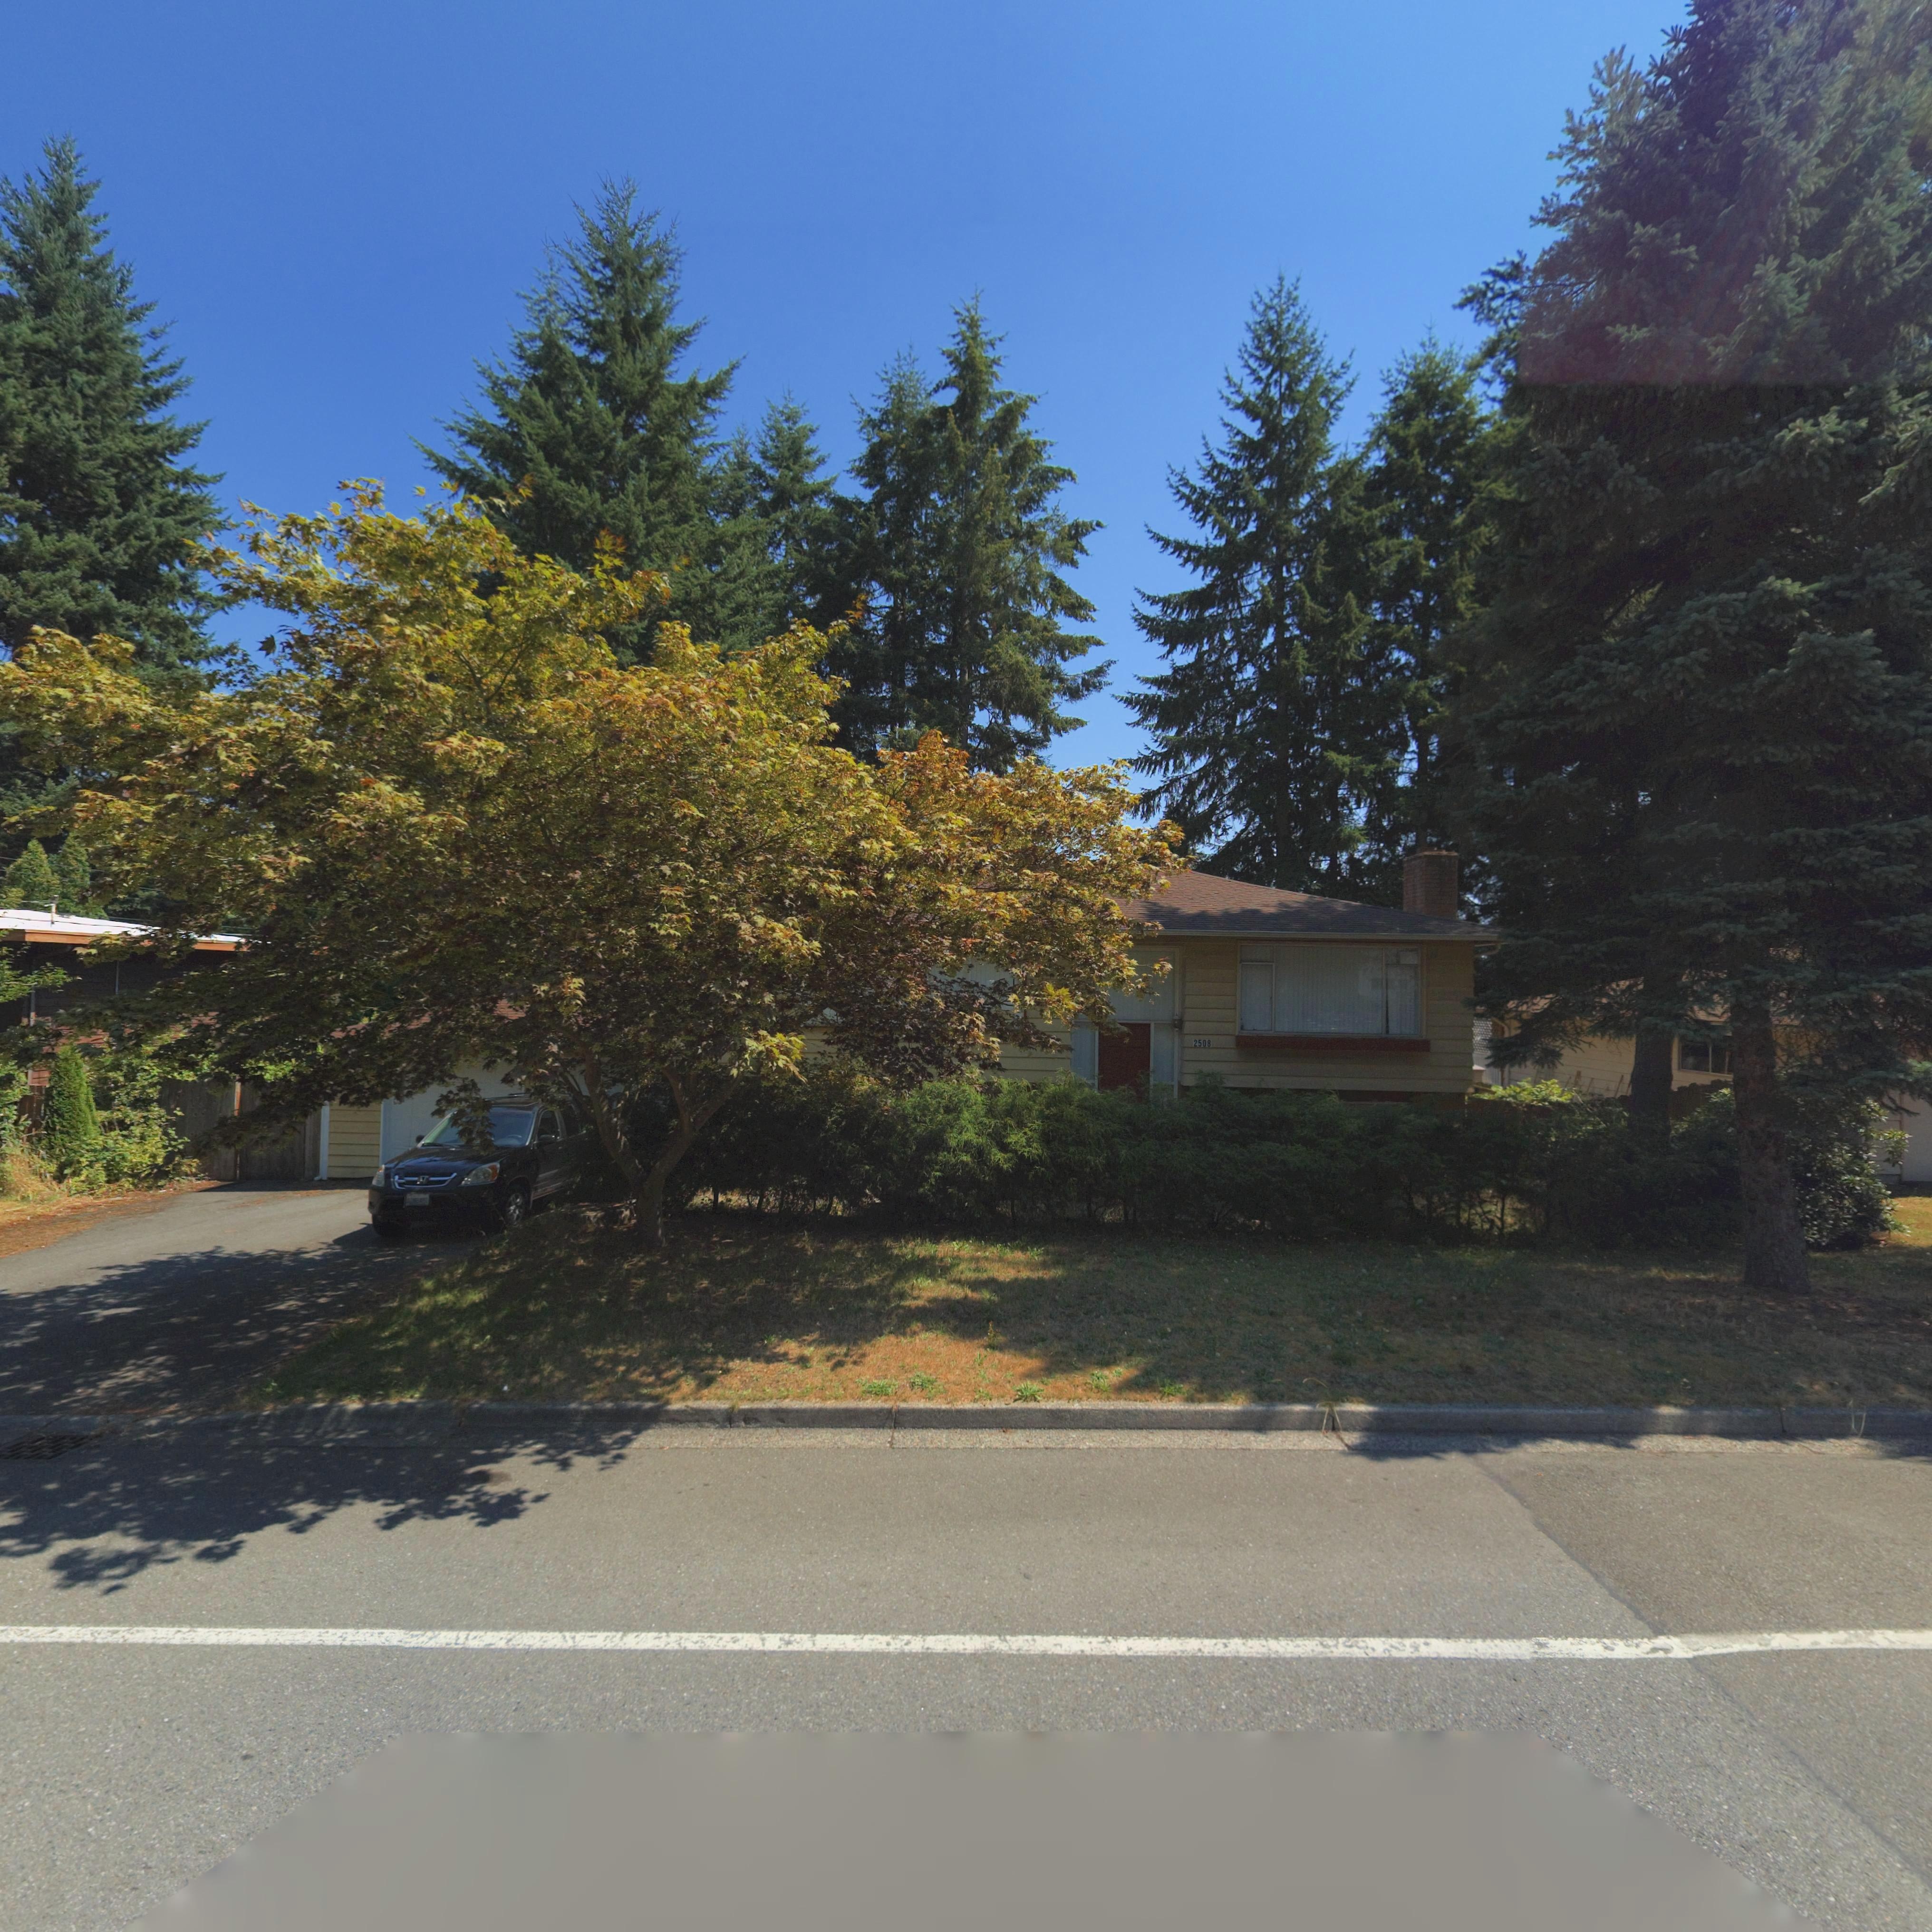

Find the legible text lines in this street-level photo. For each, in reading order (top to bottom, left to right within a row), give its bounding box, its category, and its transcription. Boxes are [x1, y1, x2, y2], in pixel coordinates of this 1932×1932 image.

[1194, 1039, 1210, 1046] StreetNumber: 2508